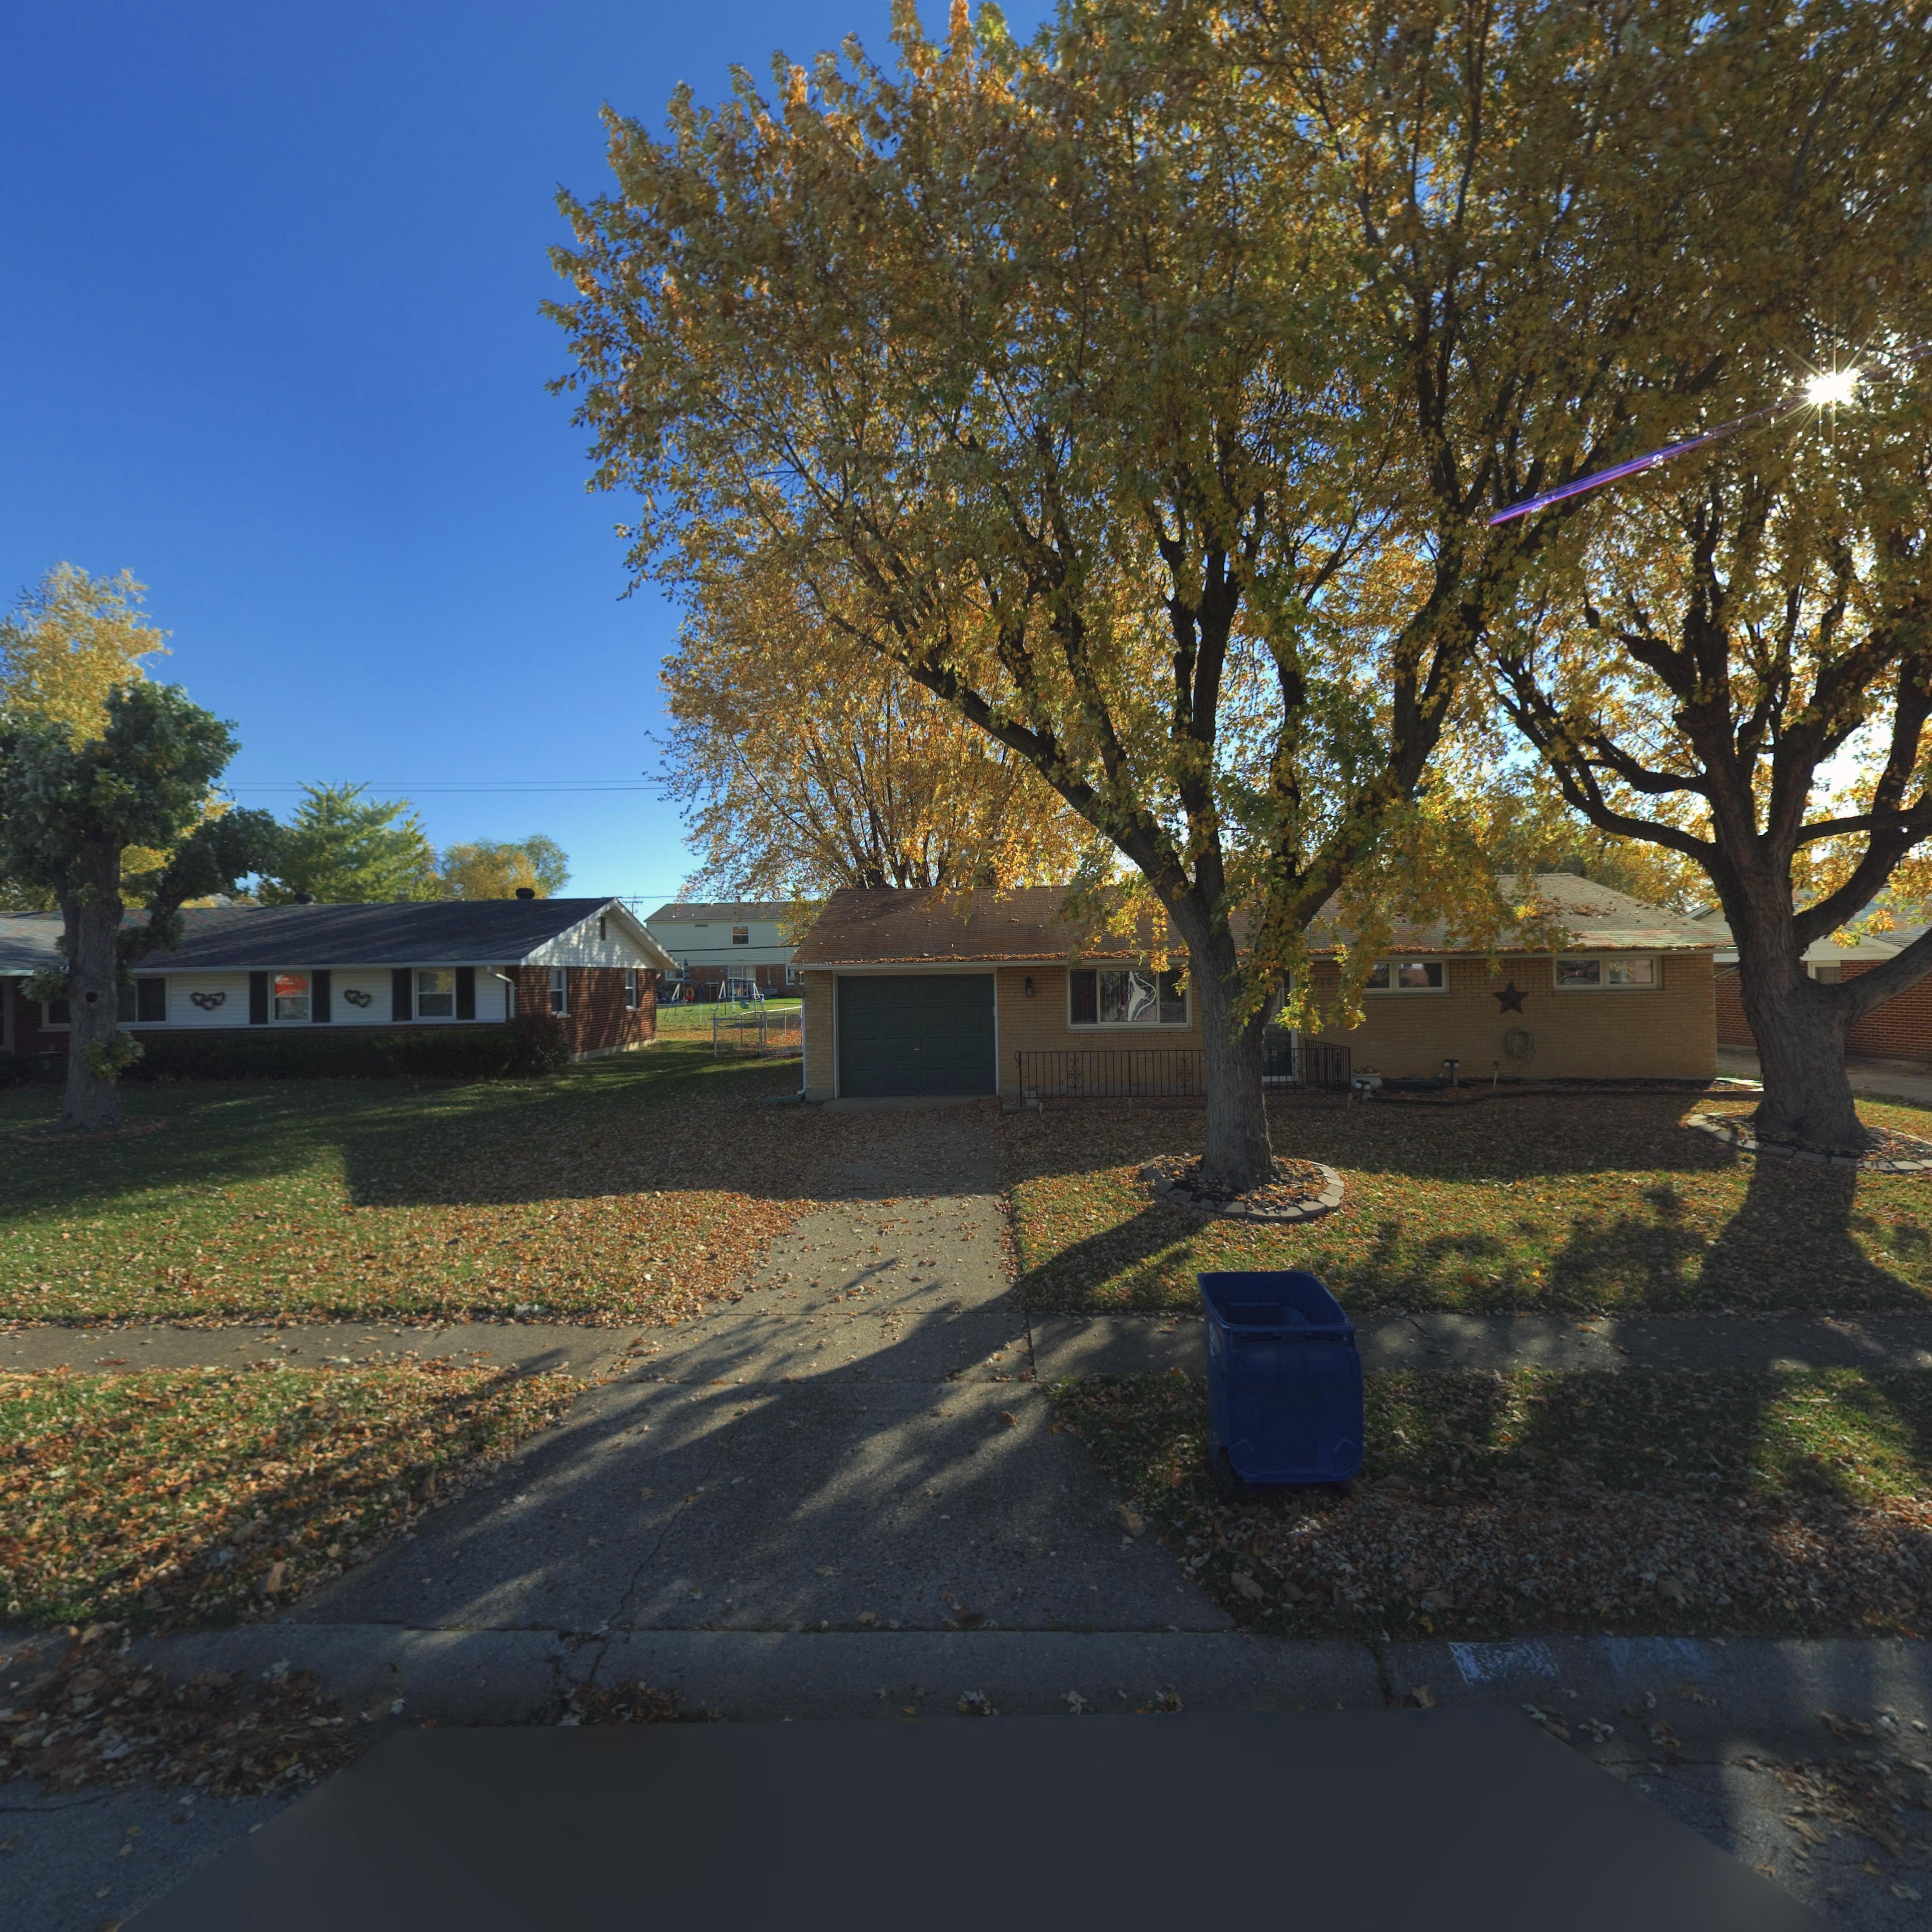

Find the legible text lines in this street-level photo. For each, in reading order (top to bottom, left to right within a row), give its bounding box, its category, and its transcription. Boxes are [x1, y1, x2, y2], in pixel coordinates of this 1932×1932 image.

[1319, 976, 1334, 987] StreetNumber: 18